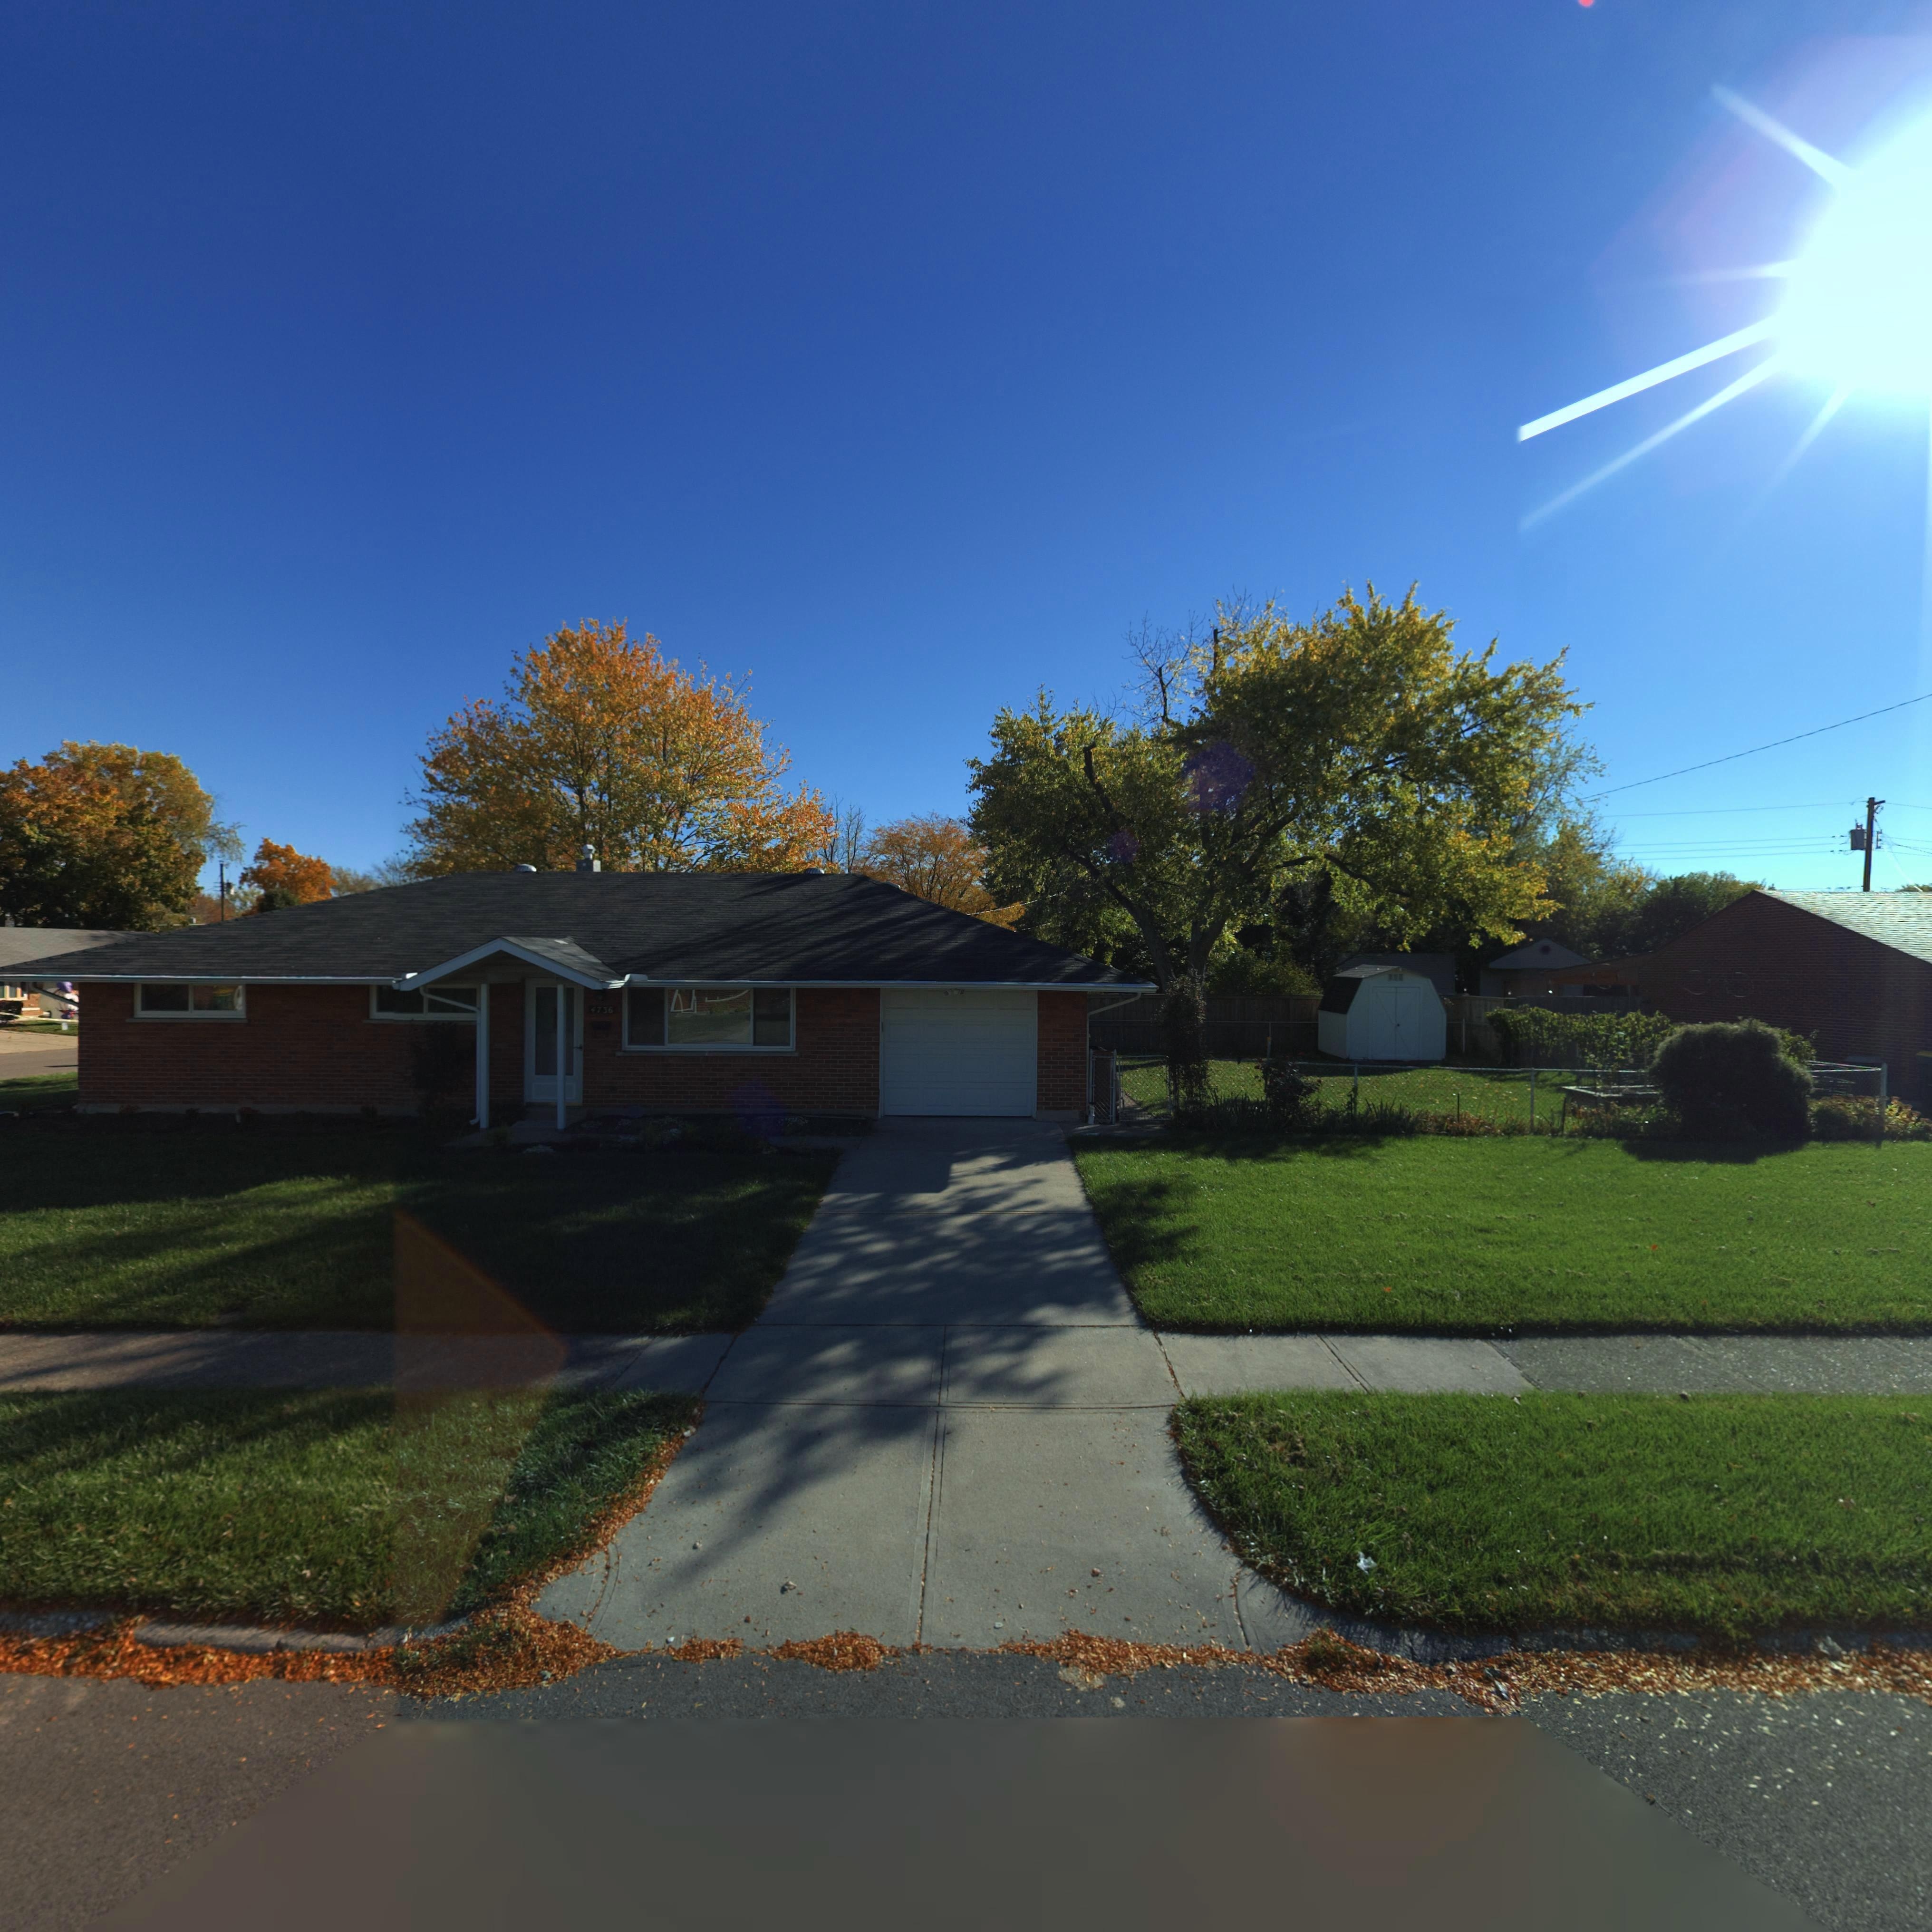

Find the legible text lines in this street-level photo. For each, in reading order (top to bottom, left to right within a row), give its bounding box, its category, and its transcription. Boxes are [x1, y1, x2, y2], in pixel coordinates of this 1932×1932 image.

[590, 1005, 613, 1013] StreetNumber: 4736